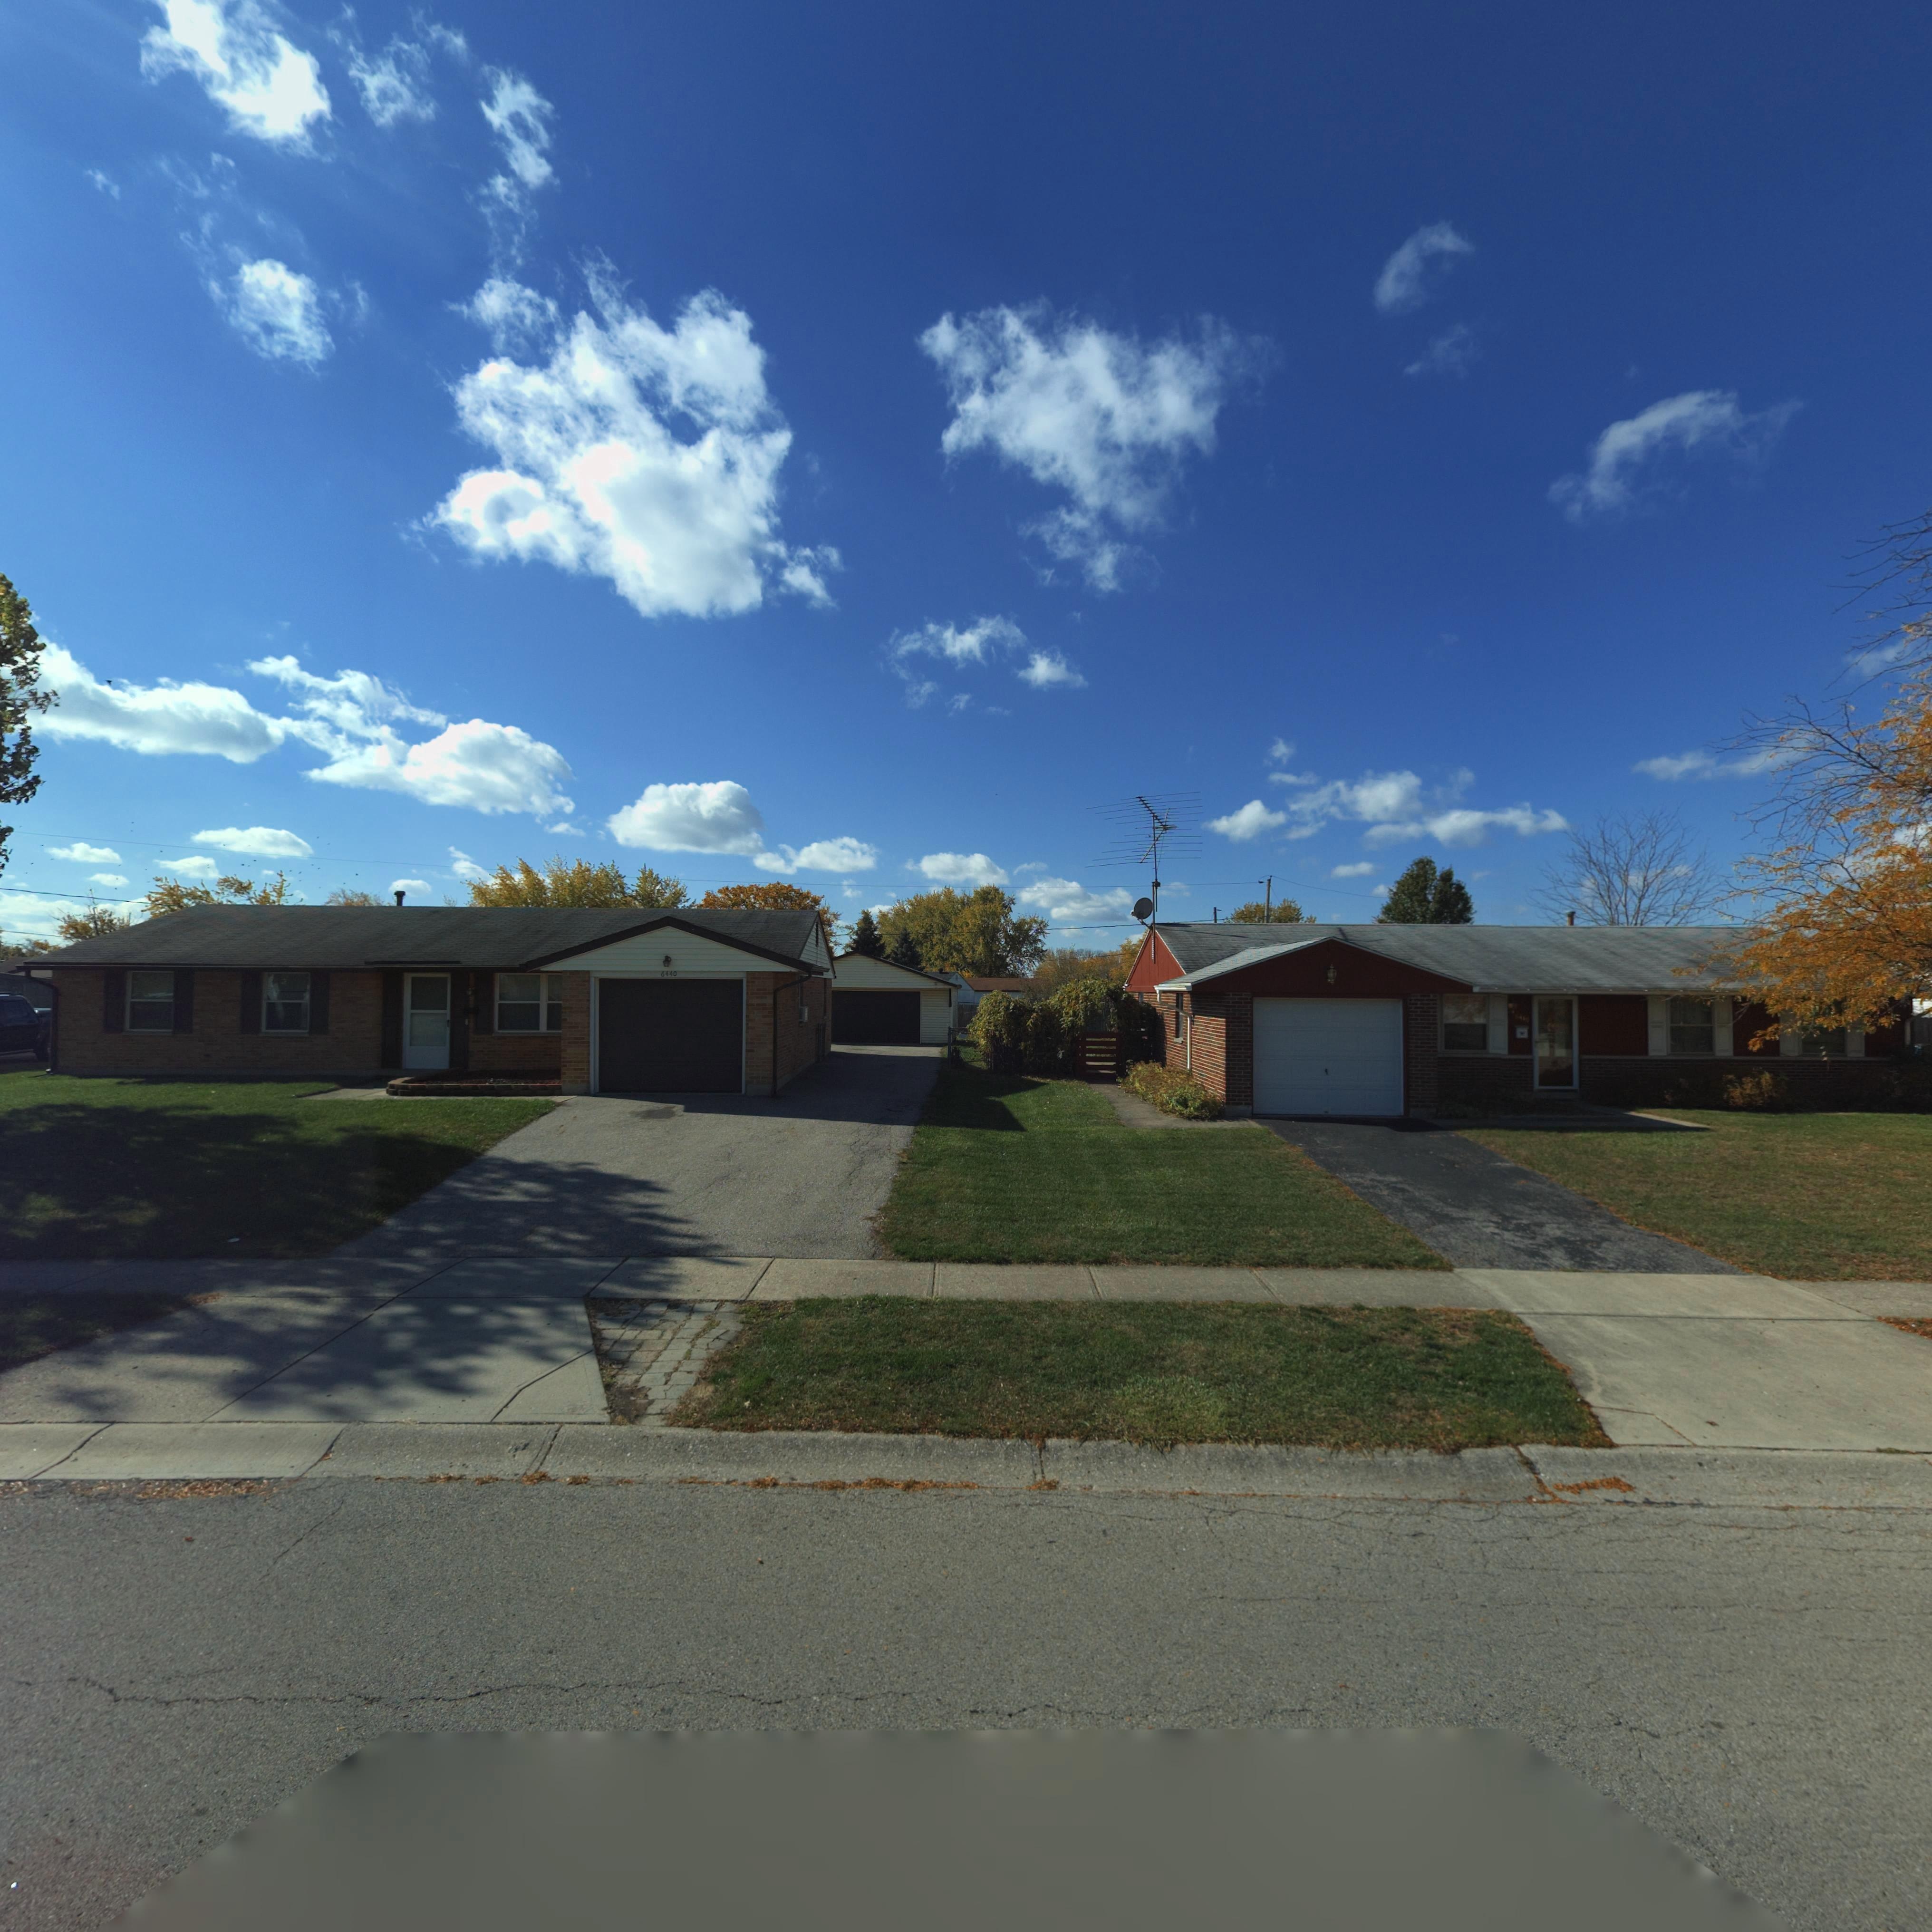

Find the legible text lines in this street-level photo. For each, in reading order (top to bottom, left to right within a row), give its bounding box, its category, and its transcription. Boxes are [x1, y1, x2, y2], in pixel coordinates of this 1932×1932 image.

[660, 970, 677, 977] StreetNumber: 6440
[1513, 1014, 1530, 1024] StreetNumber: *4*0